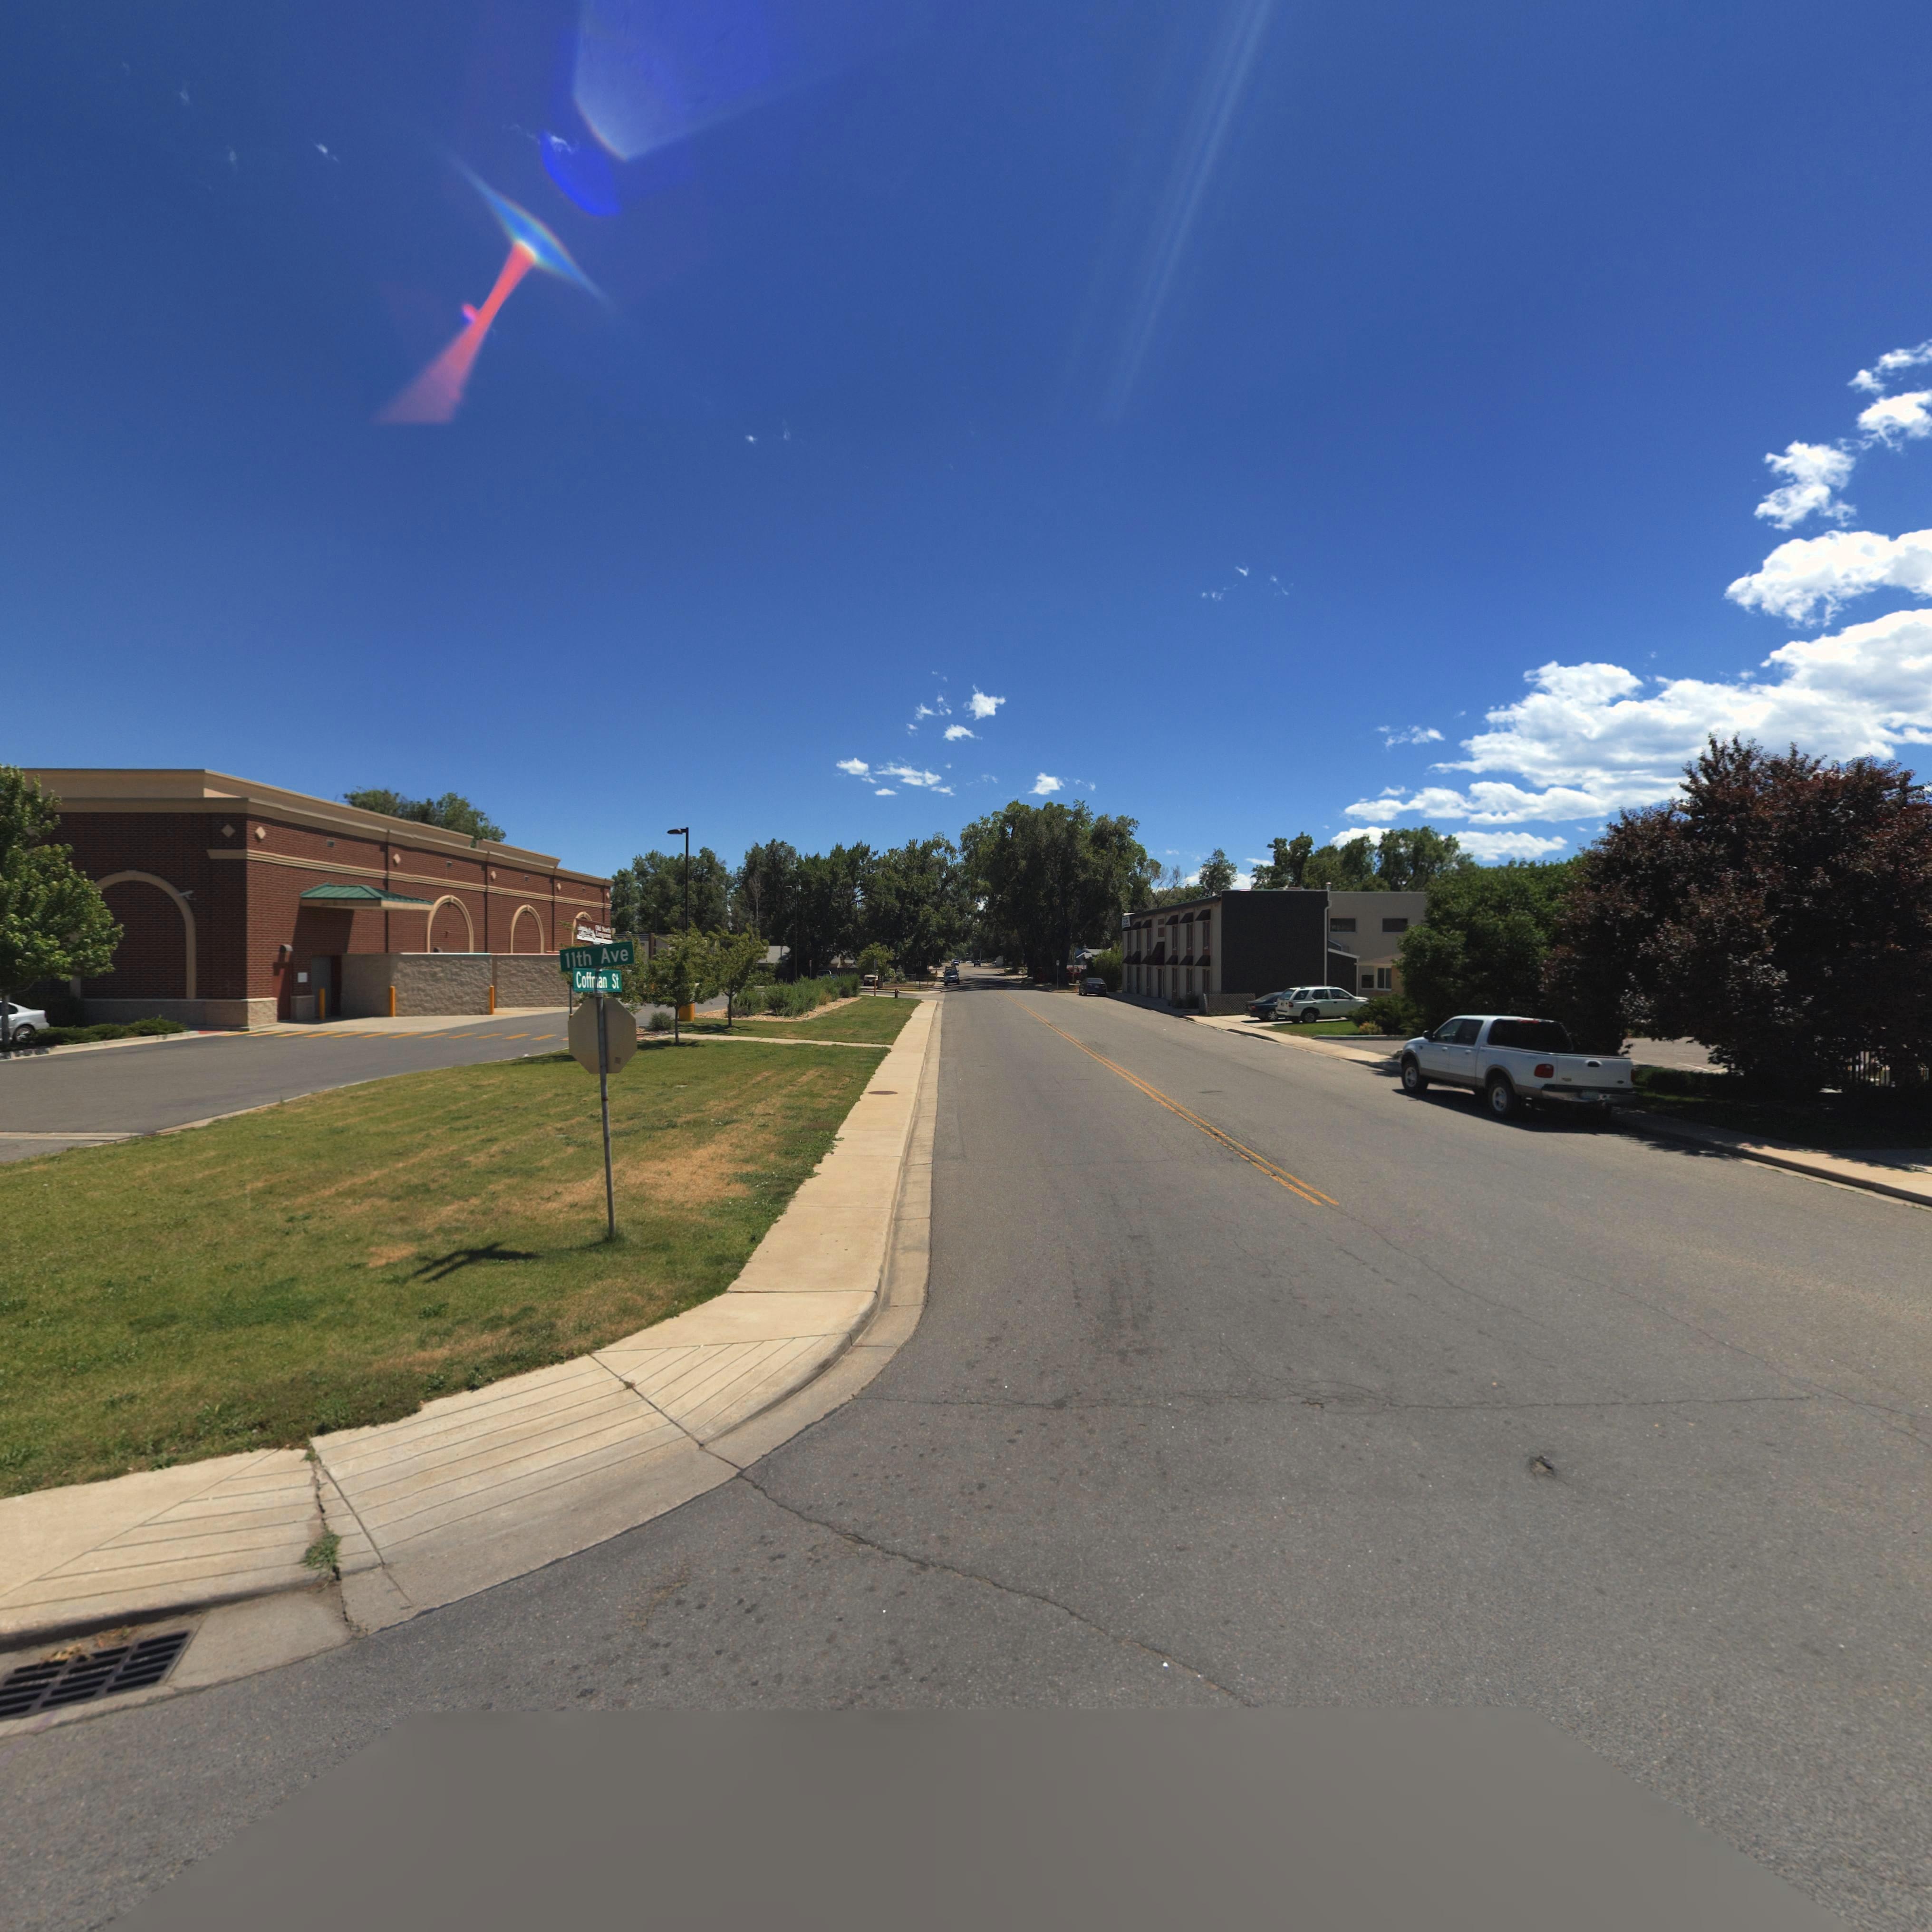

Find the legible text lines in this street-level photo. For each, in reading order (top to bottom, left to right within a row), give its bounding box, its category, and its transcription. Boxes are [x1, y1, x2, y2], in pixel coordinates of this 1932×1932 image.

[564, 947, 628, 969] StreetName: 11th Ave
[575, 970, 619, 989] StreetName: Coffman St